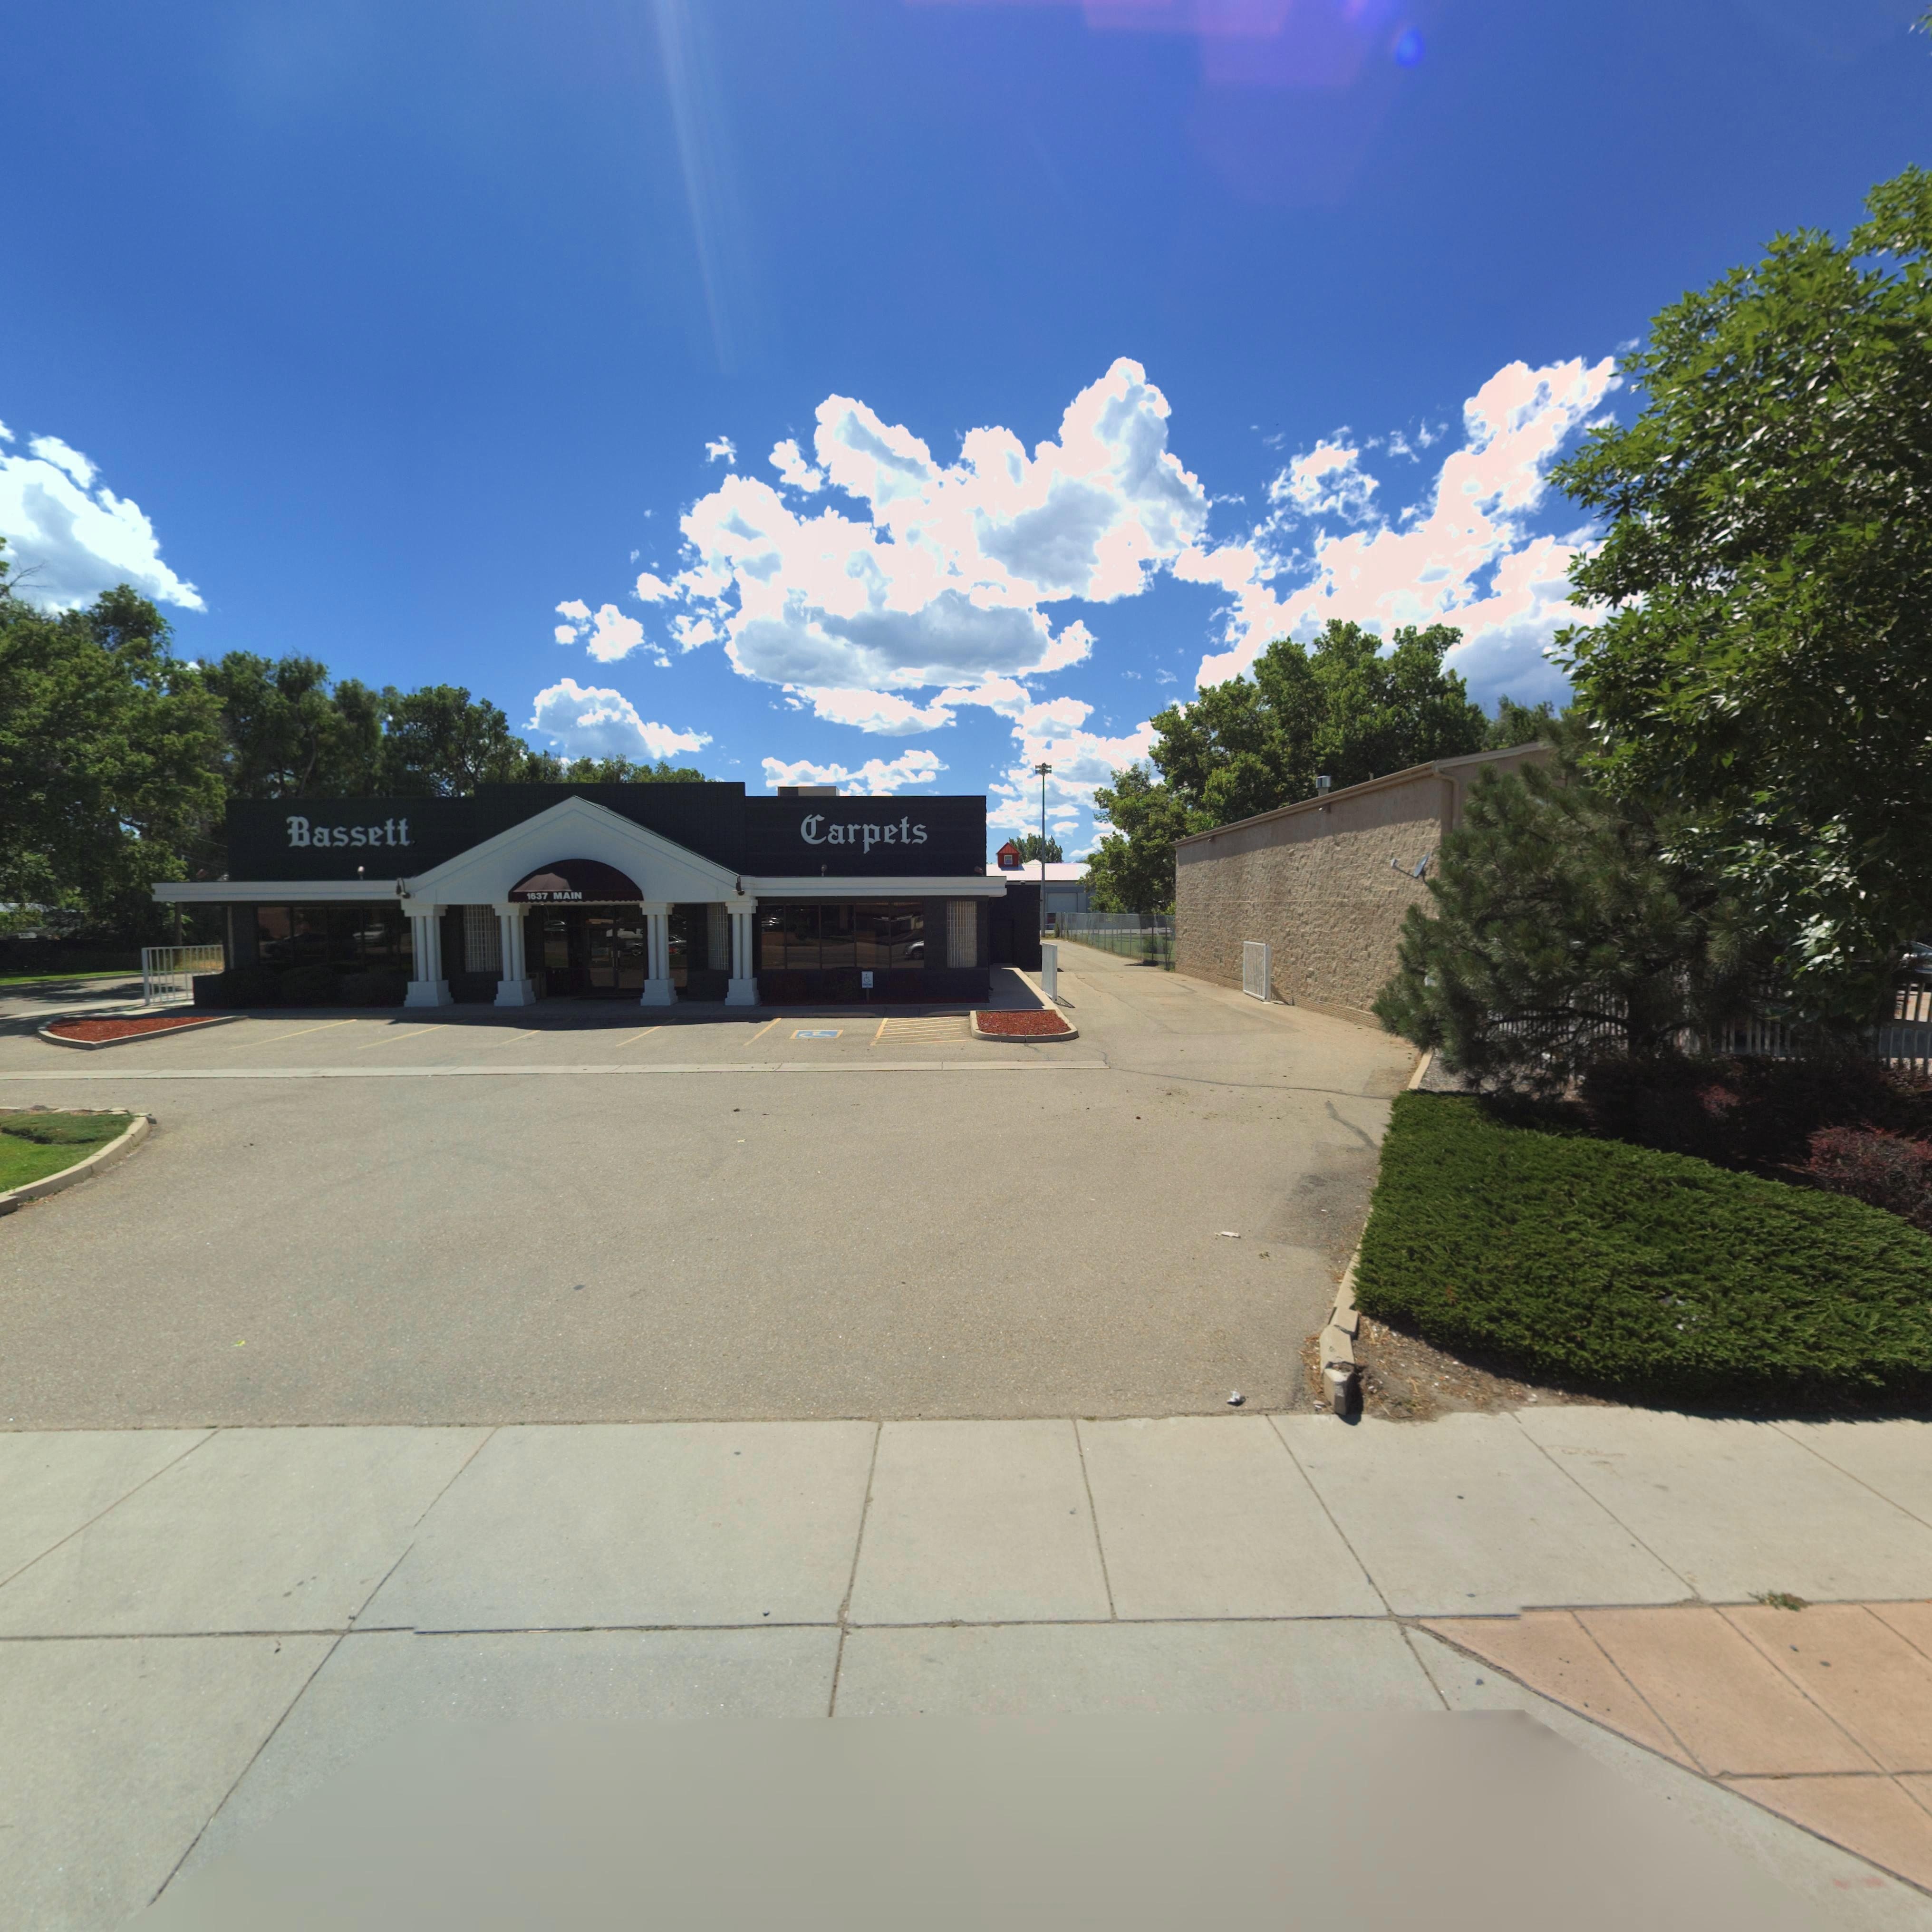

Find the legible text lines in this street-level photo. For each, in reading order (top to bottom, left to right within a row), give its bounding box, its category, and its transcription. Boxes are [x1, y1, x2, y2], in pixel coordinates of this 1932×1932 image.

[285, 814, 412, 849] BusinessName: Bassett
[799, 811, 929, 856] BusinessName: Carpets
[526, 892, 549, 900] StreetNumber: 1637
[552, 891, 583, 900] StreetName: MAIN